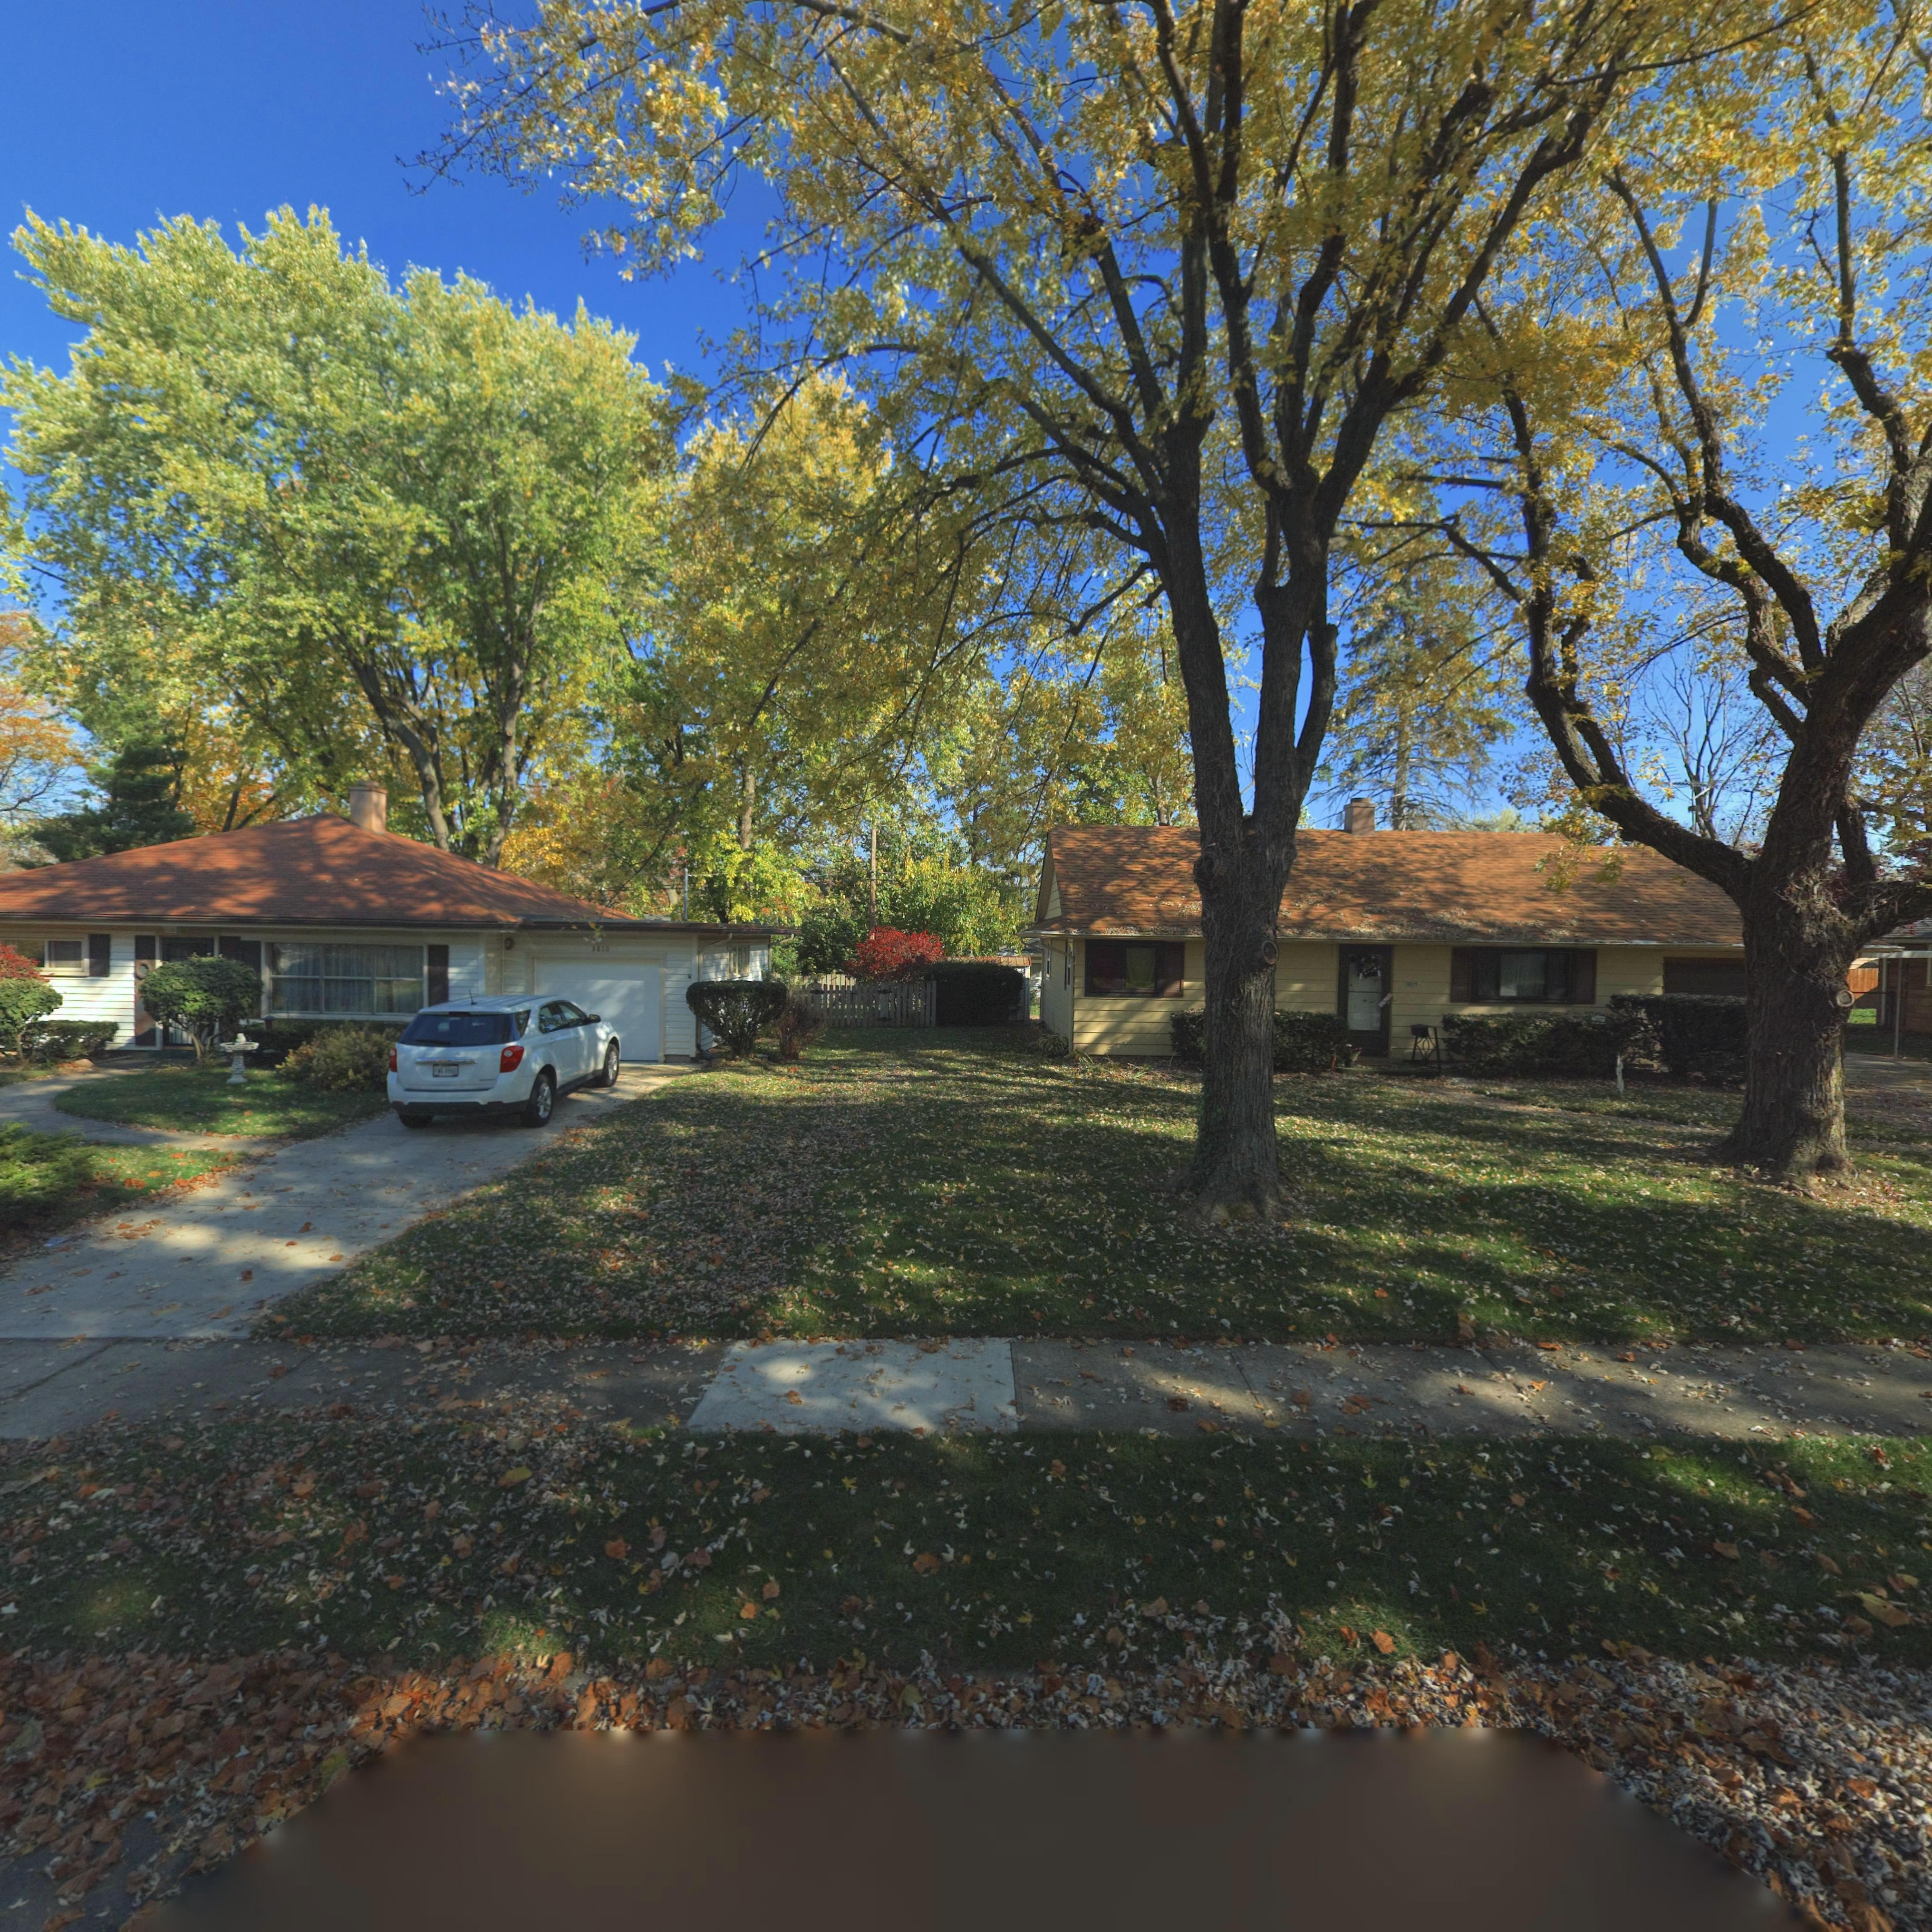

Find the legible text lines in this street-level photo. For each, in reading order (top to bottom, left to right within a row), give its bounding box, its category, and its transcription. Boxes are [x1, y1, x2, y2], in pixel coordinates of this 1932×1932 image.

[590, 945, 610, 952] StreetNumber: 3810
[433, 1066, 457, 1074] None: FWG 8960